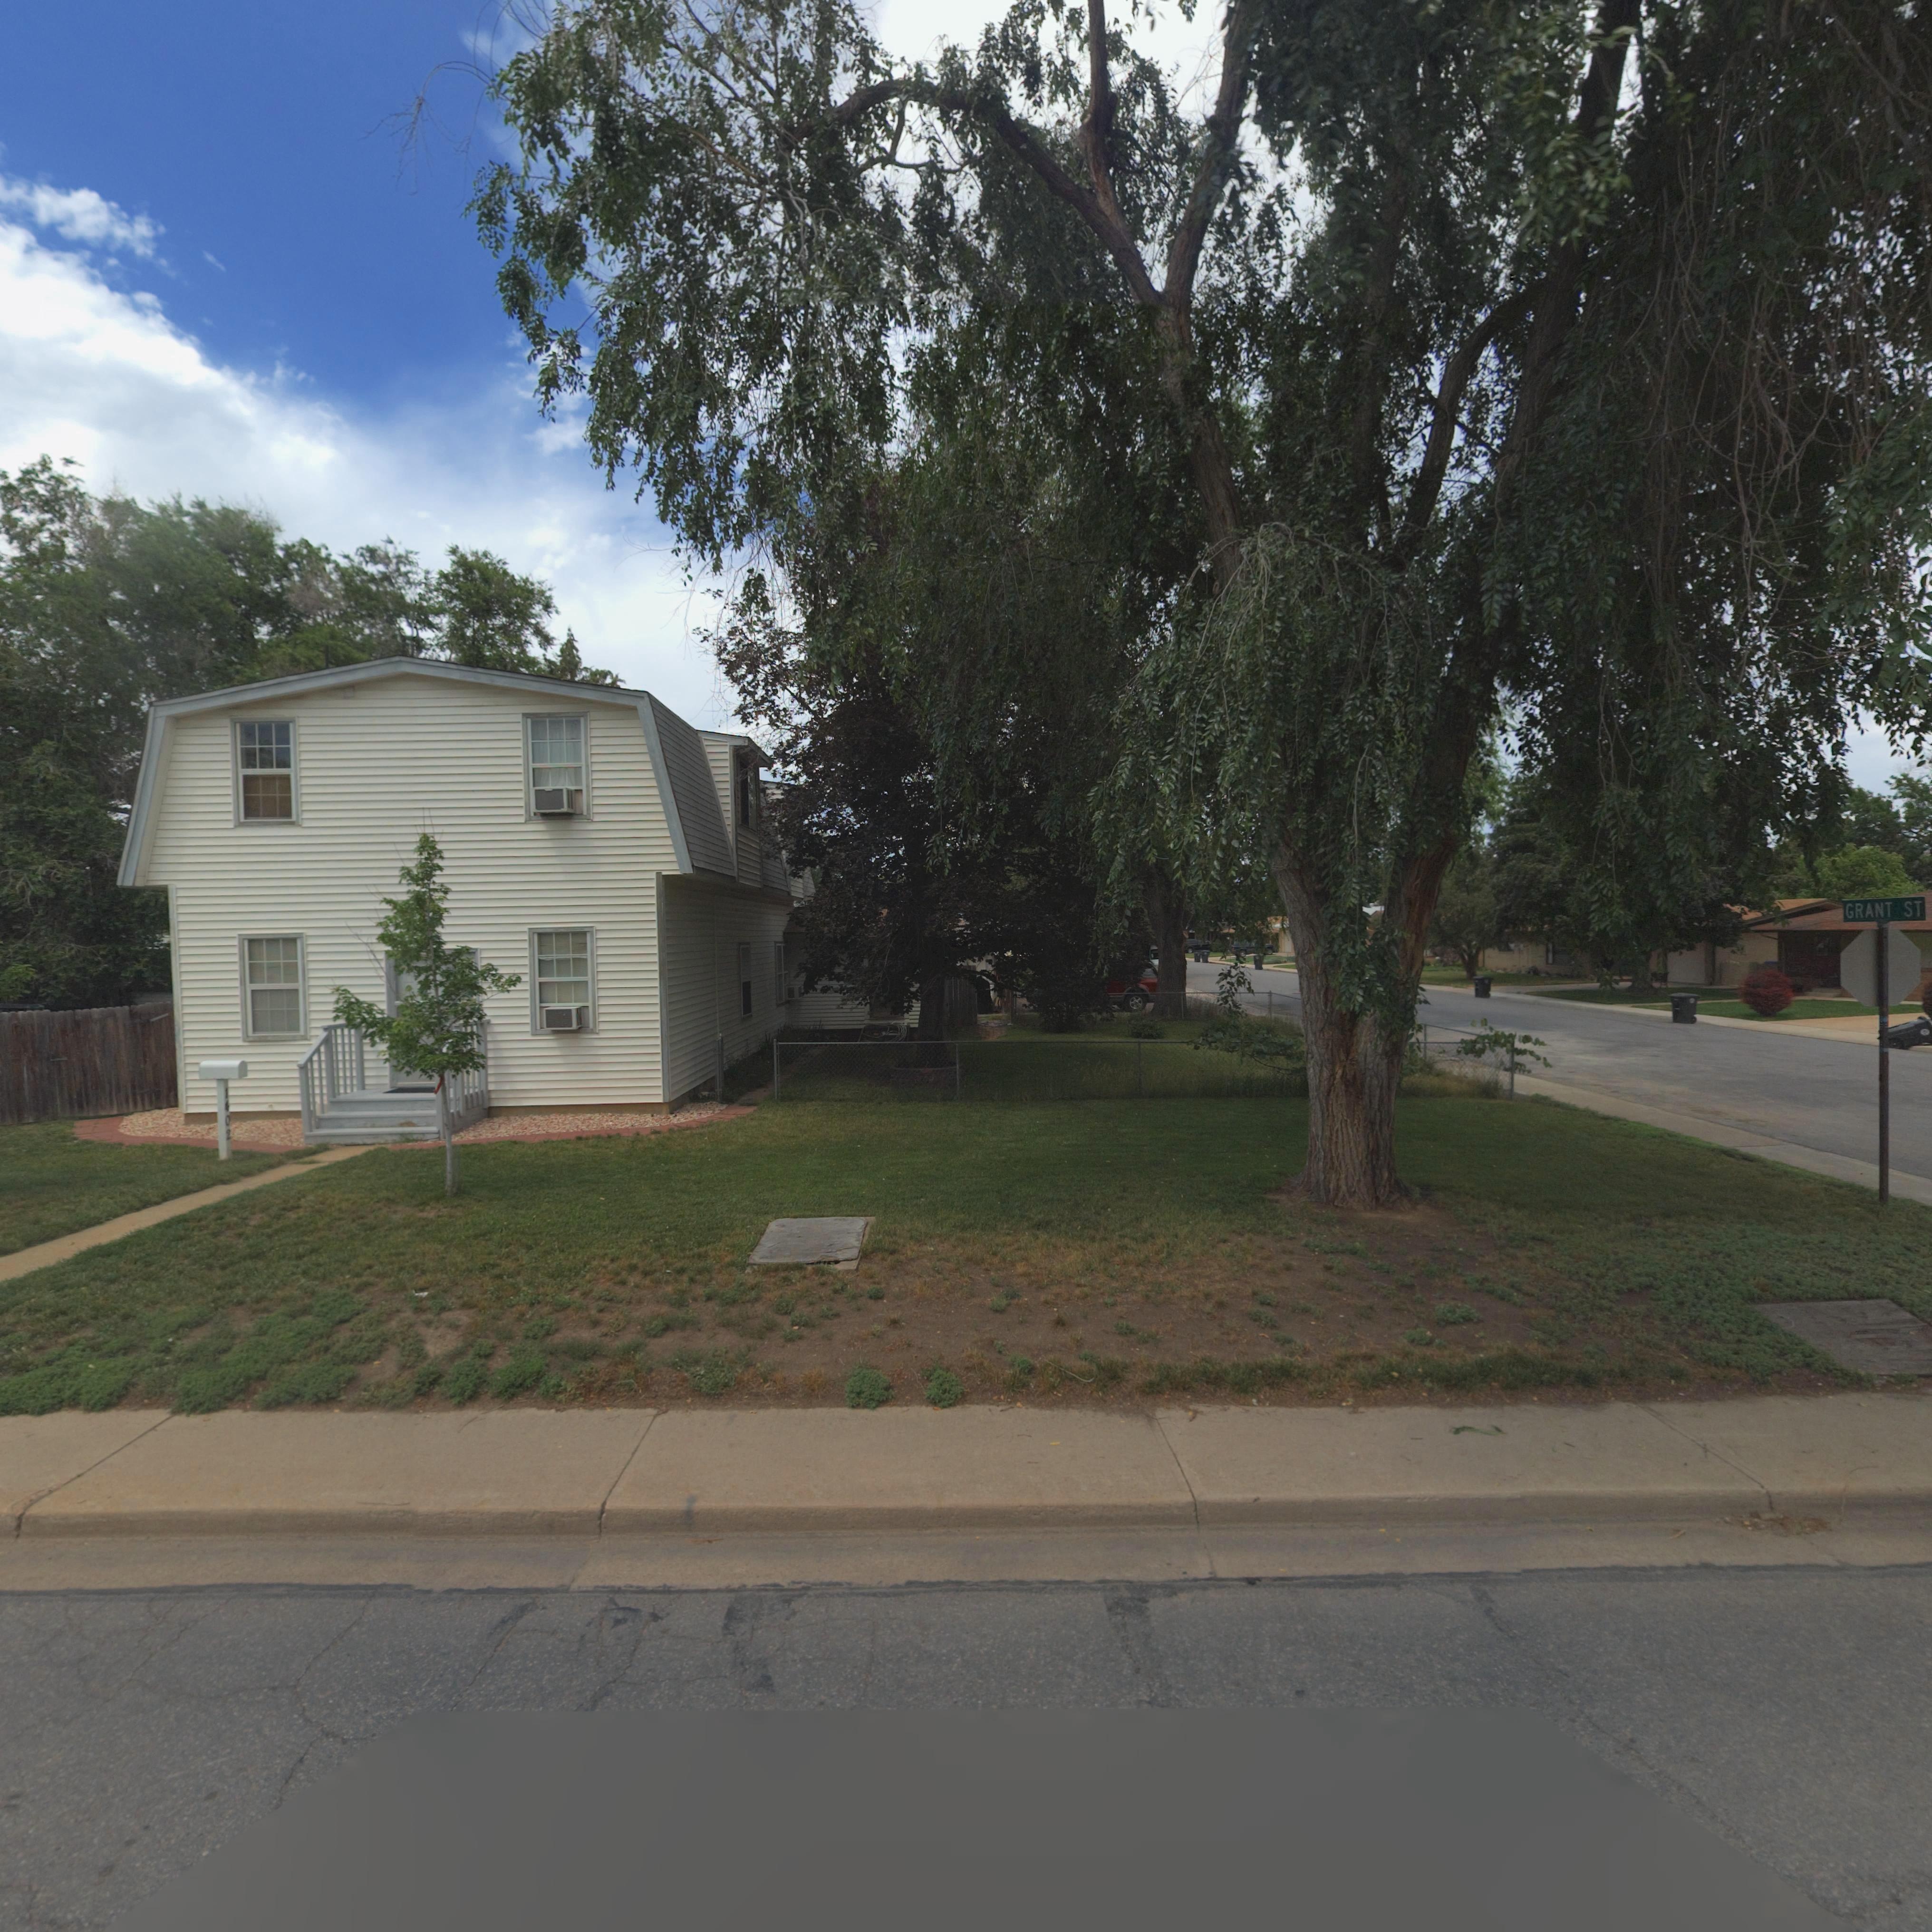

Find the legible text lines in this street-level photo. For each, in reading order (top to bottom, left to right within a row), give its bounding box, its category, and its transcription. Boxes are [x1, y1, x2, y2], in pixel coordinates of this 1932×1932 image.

[1844, 900, 1923, 919] StreetName: GRANT ST
[223, 1087, 231, 1142] StreetNumber: 1402